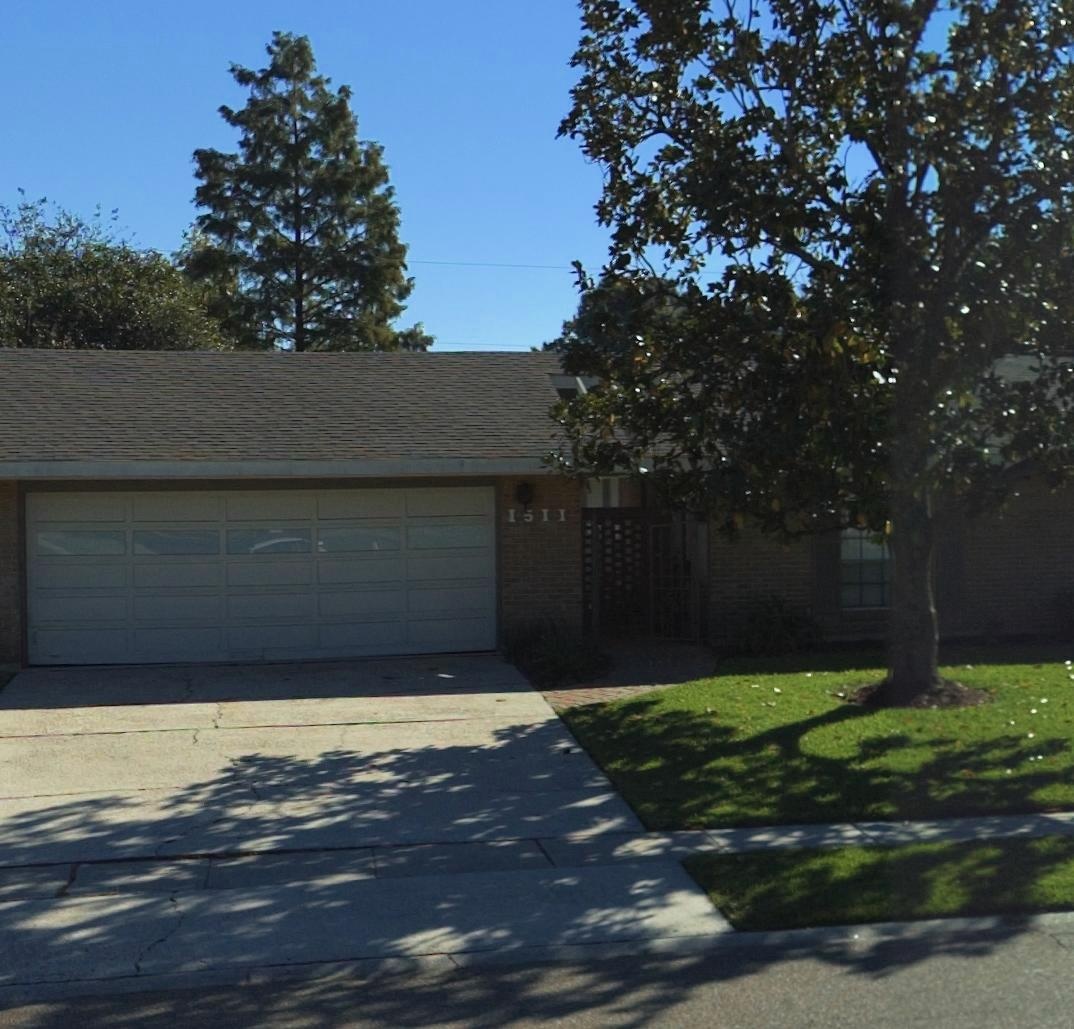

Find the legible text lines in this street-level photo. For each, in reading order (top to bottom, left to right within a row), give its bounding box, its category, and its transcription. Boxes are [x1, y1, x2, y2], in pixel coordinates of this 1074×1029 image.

[506, 507, 568, 524] StreetNumber: 1511